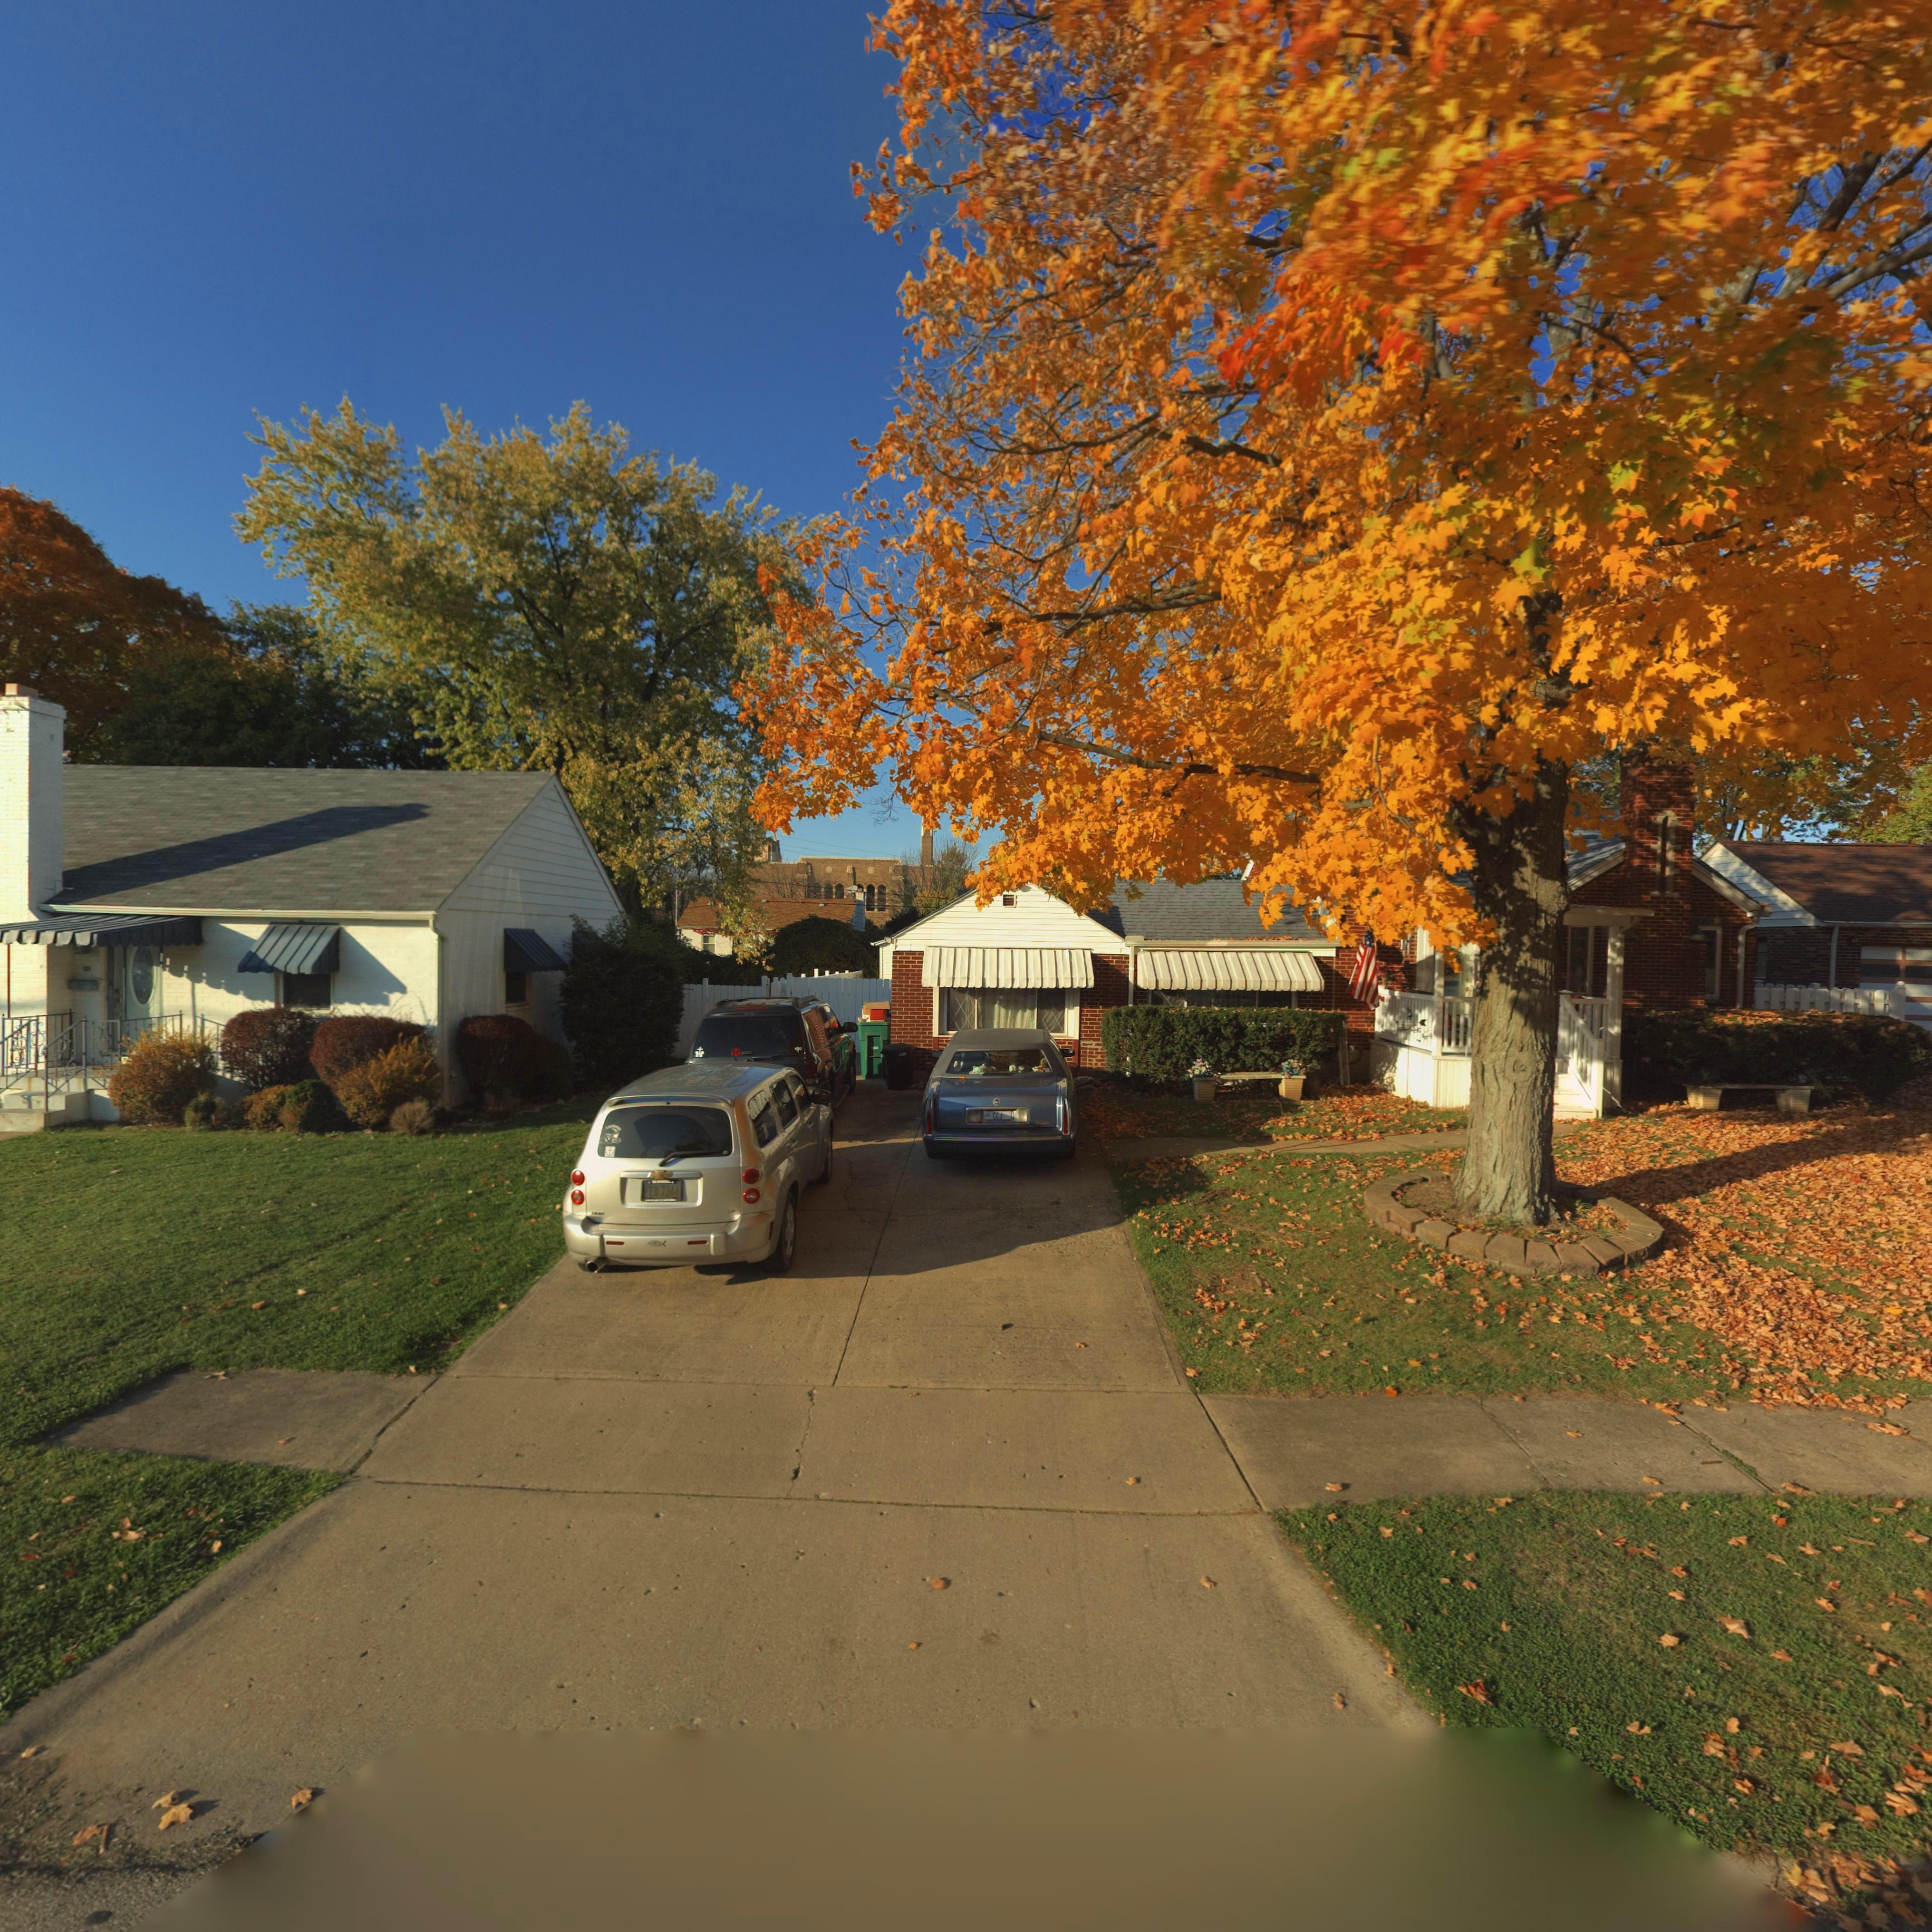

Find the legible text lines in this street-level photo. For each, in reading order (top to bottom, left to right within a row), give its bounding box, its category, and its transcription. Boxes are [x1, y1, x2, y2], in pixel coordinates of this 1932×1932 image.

[82, 966, 92, 972] StreetNumber: 101